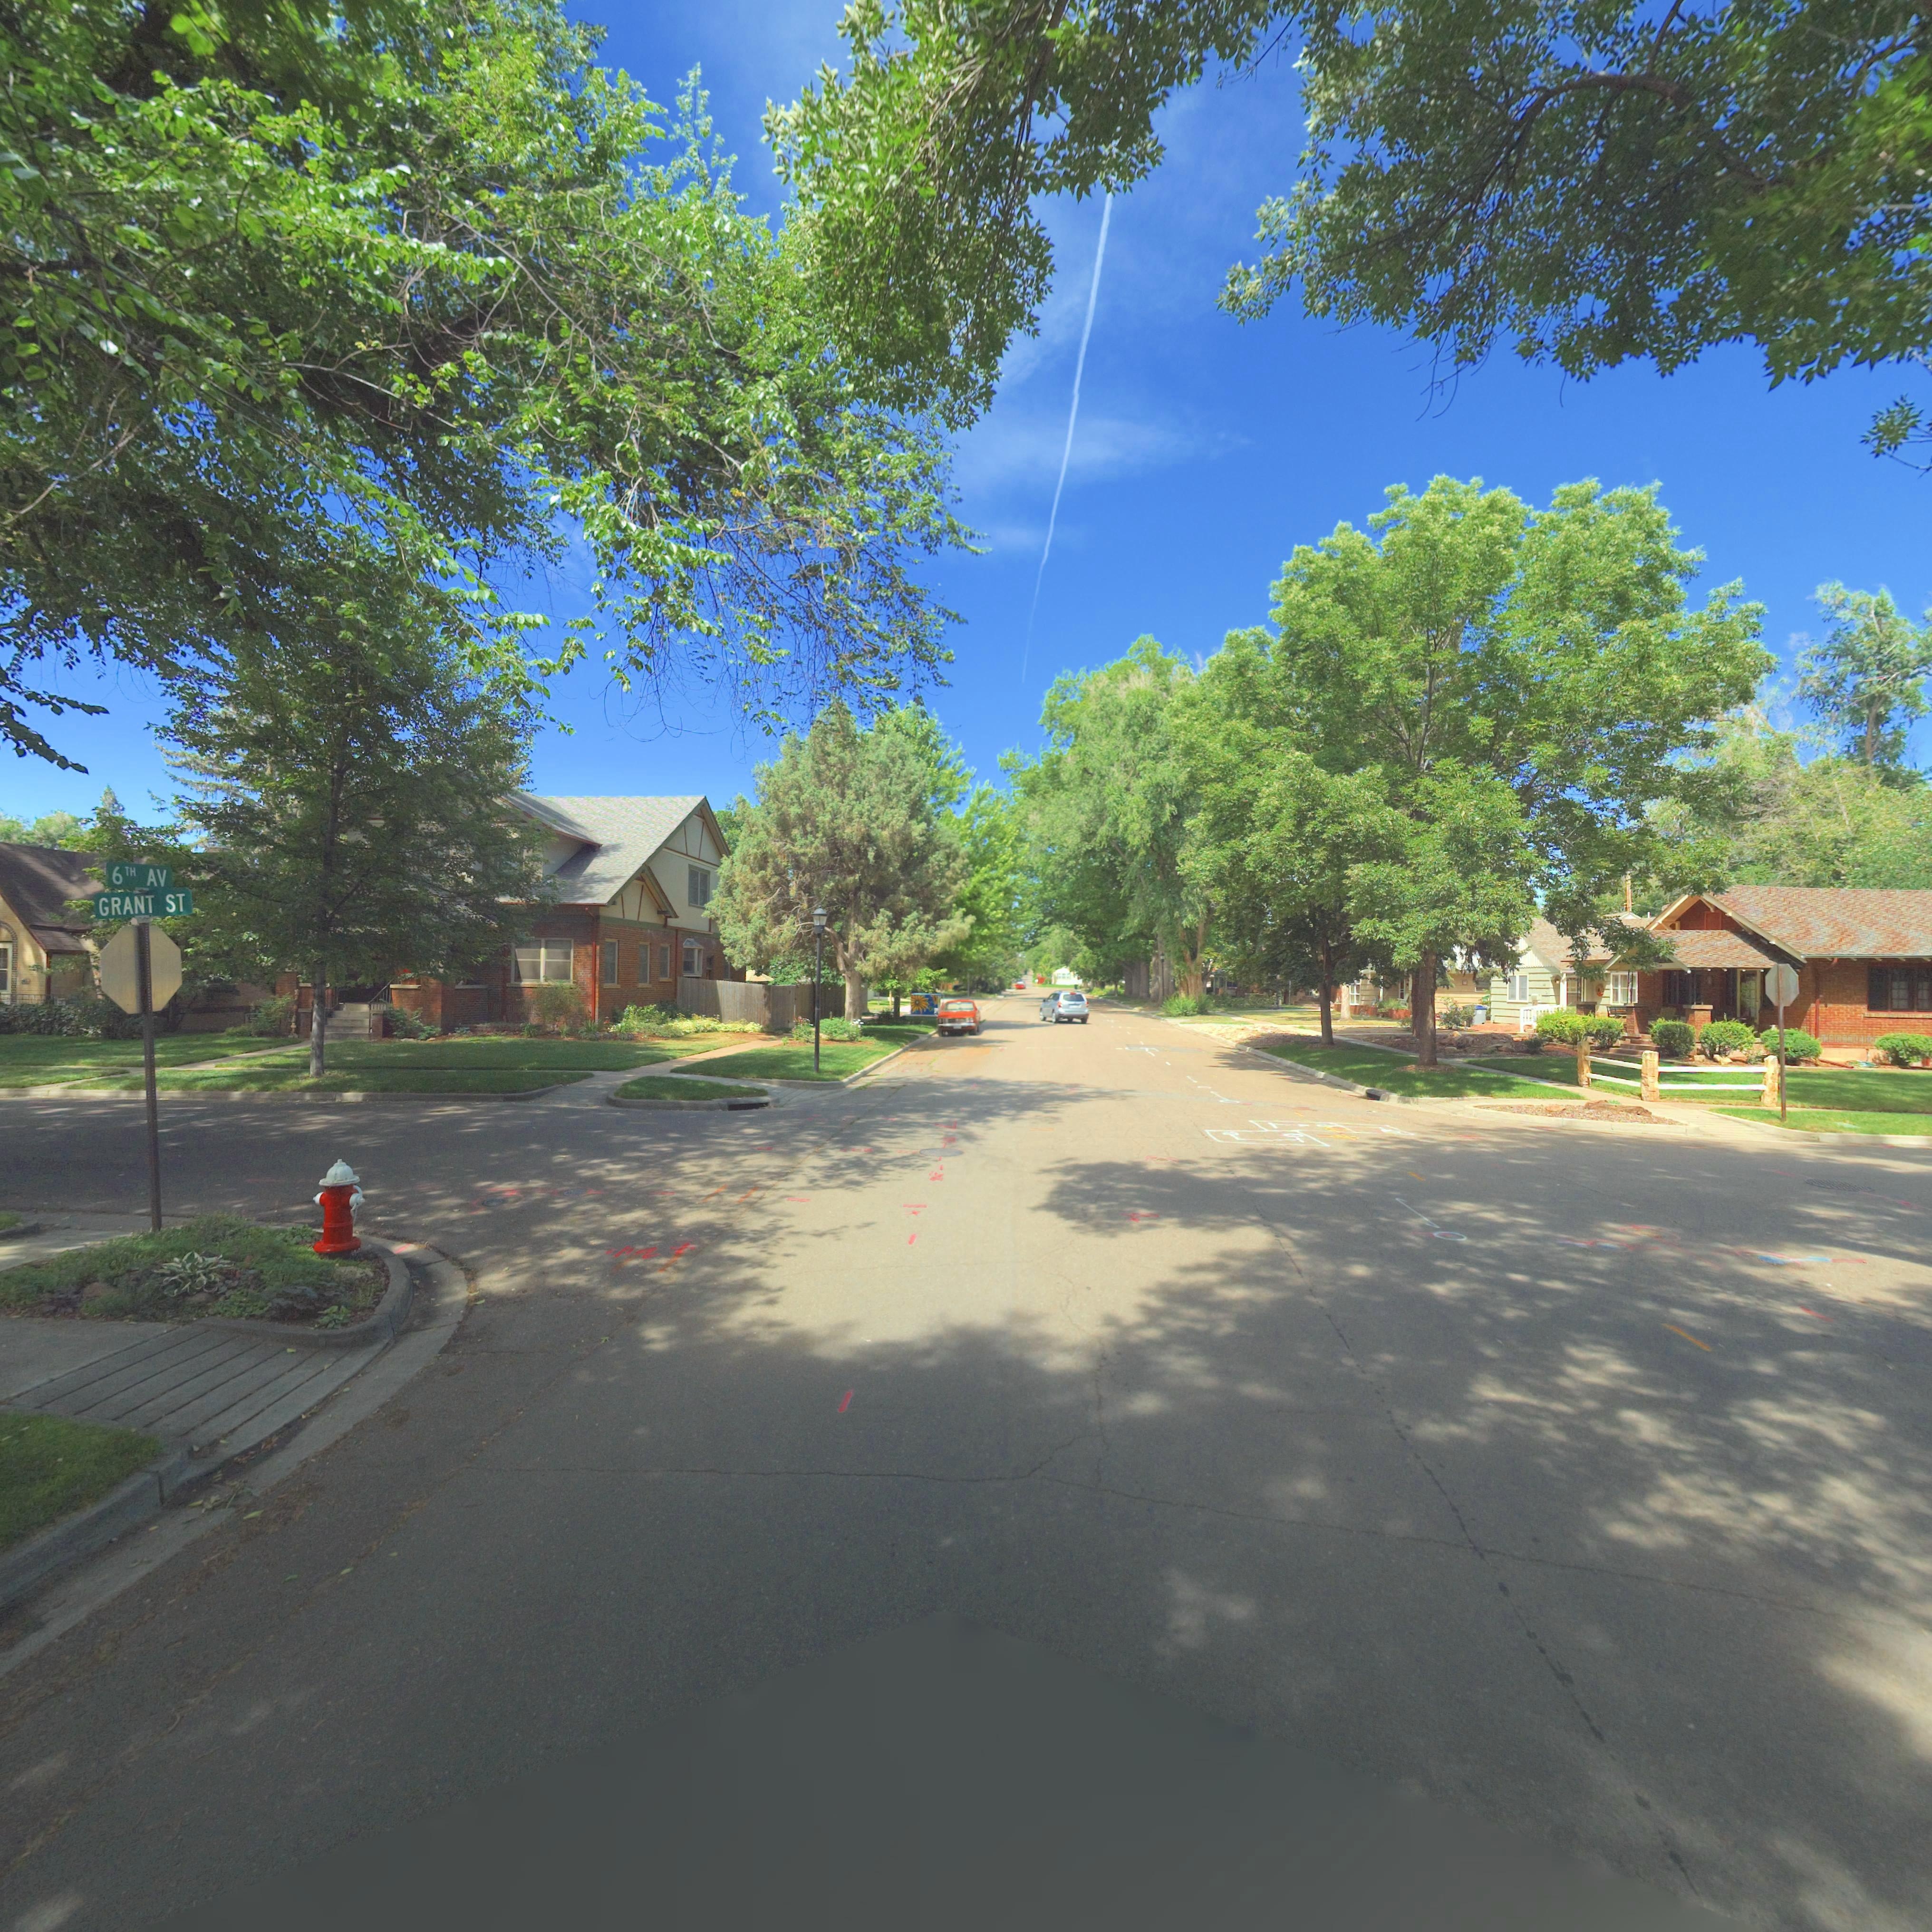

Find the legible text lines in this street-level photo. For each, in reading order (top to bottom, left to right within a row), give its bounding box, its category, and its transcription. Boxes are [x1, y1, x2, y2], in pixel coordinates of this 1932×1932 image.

[111, 865, 167, 887] StreetName: 6TH AV
[98, 892, 185, 916] StreetName: GRANT ST